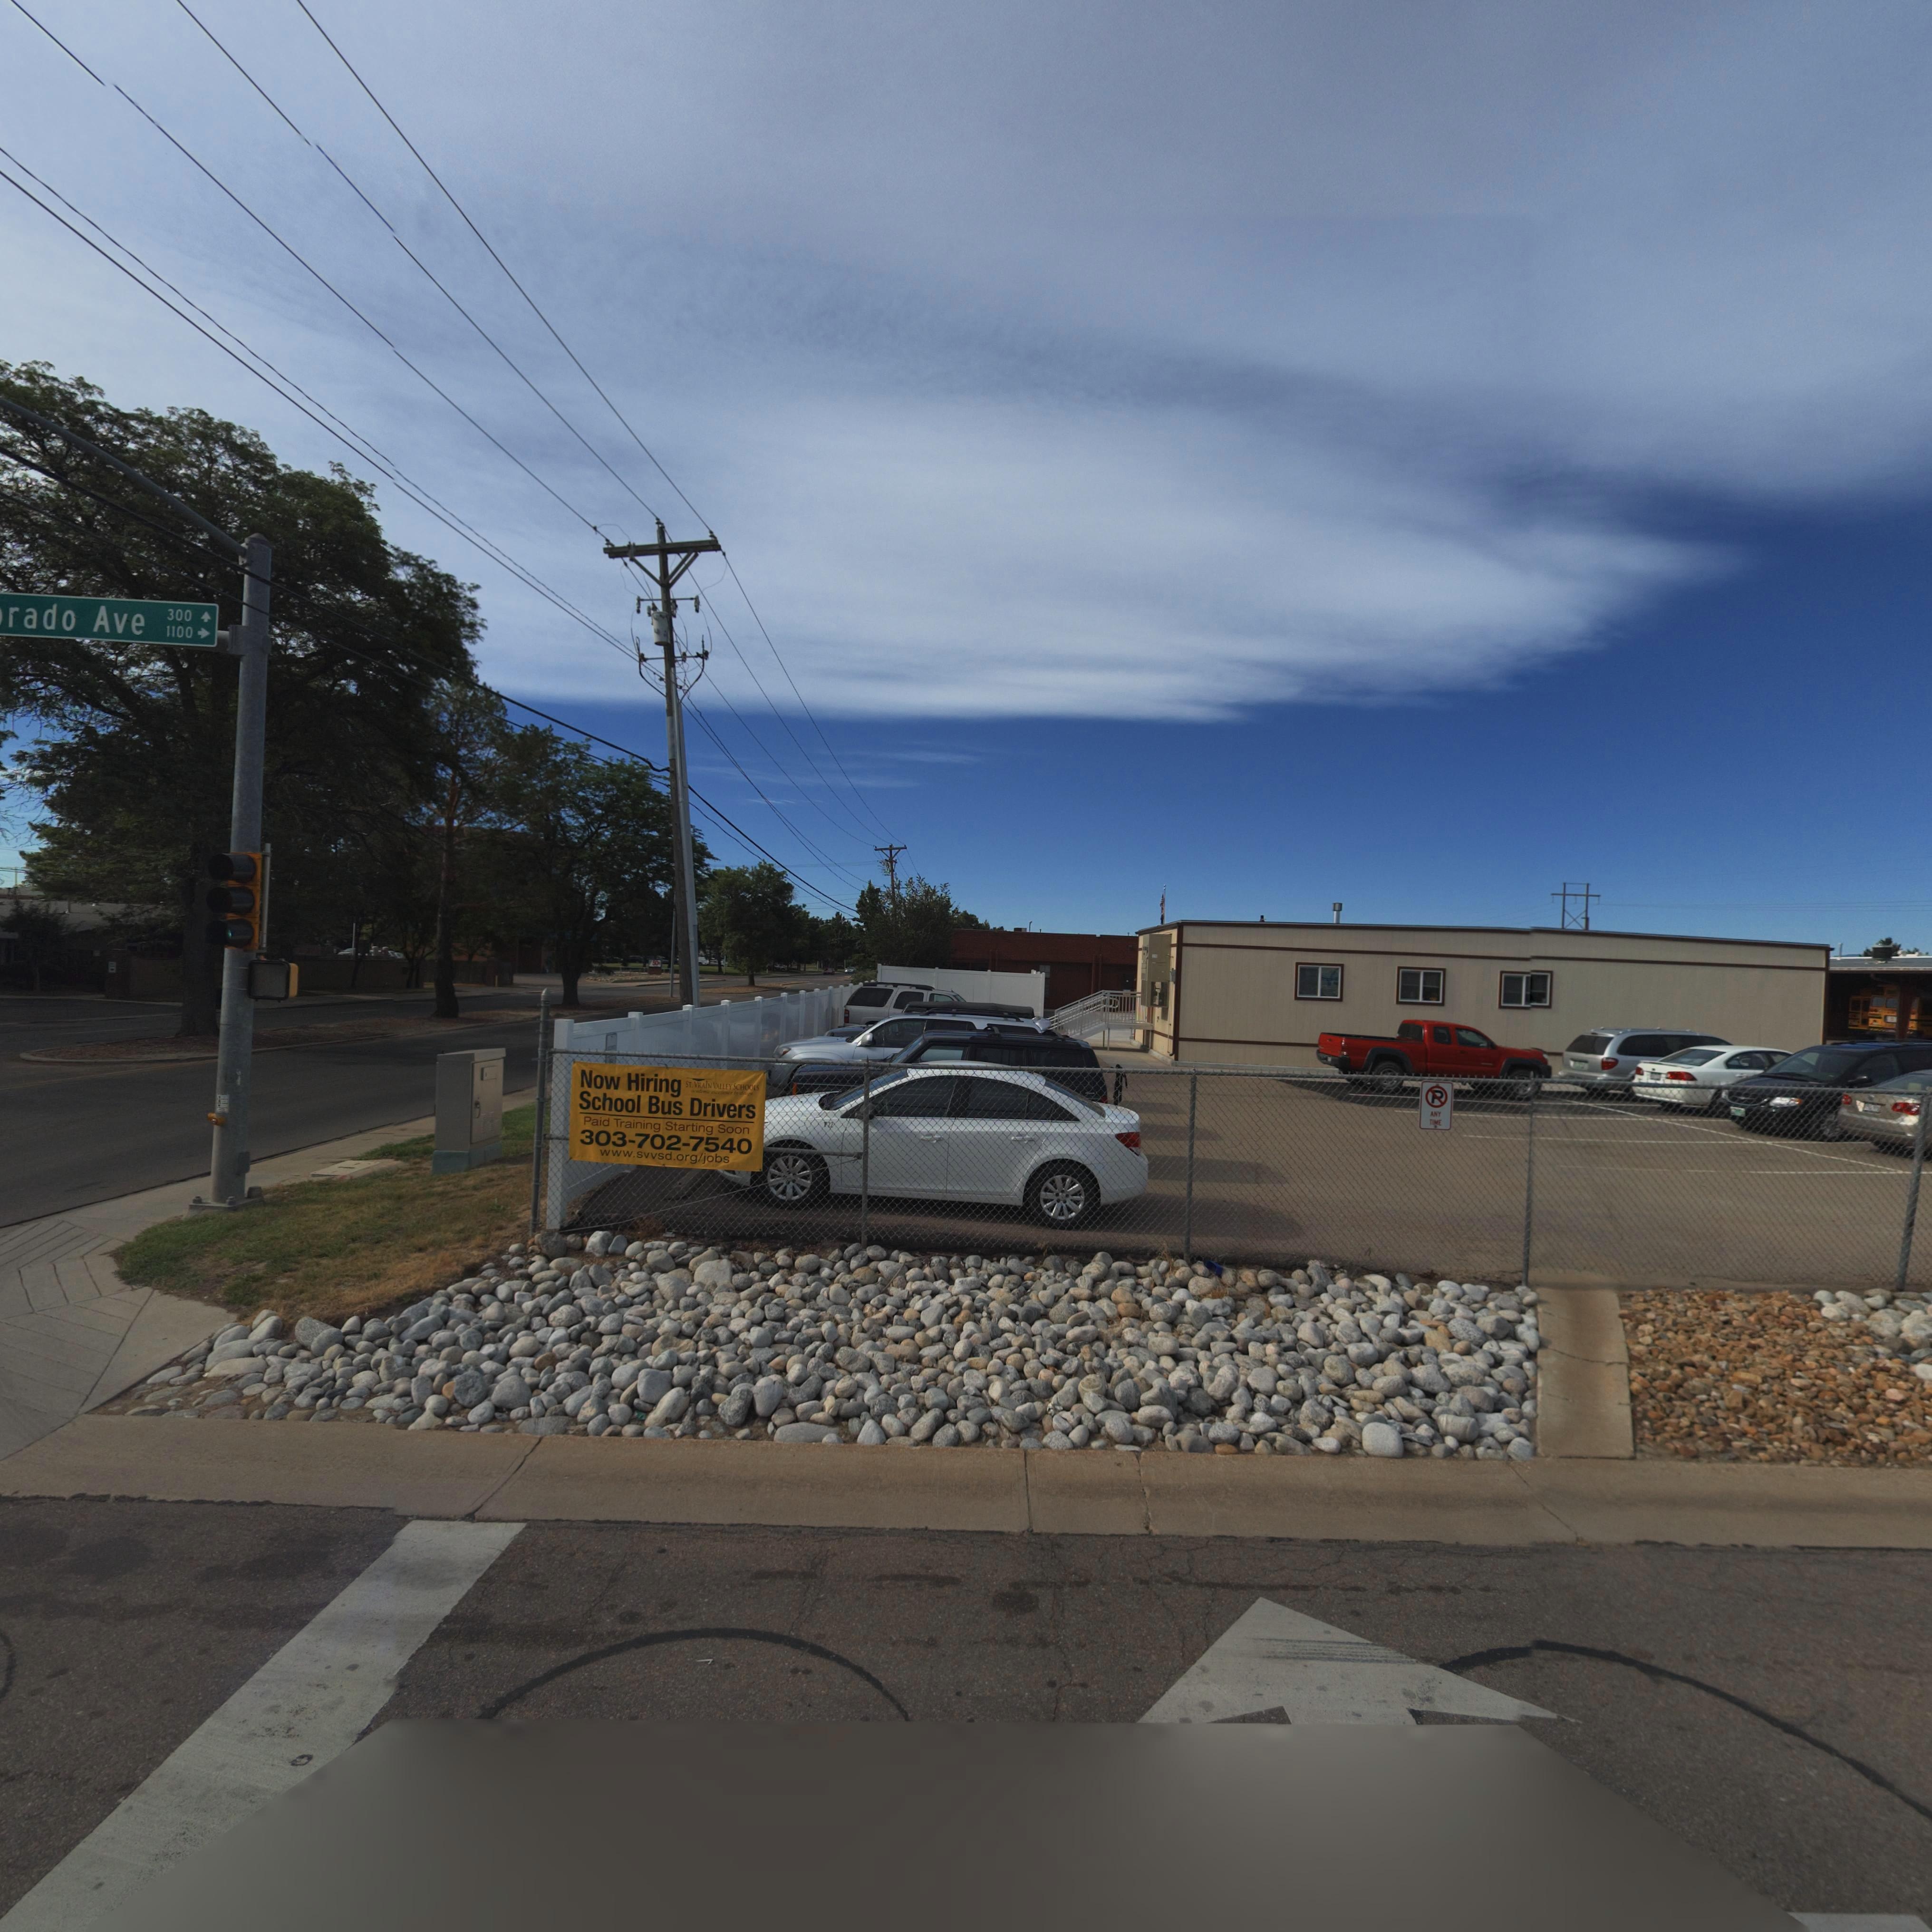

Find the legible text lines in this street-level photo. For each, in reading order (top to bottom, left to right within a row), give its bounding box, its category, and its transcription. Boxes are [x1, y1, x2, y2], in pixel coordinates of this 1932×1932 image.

[8, 603, 146, 636] StreetName: rado Ave
[166, 609, 192, 621] StreetNumberRange: 300
[166, 625, 211, 638] StreetNumberRange: 100->